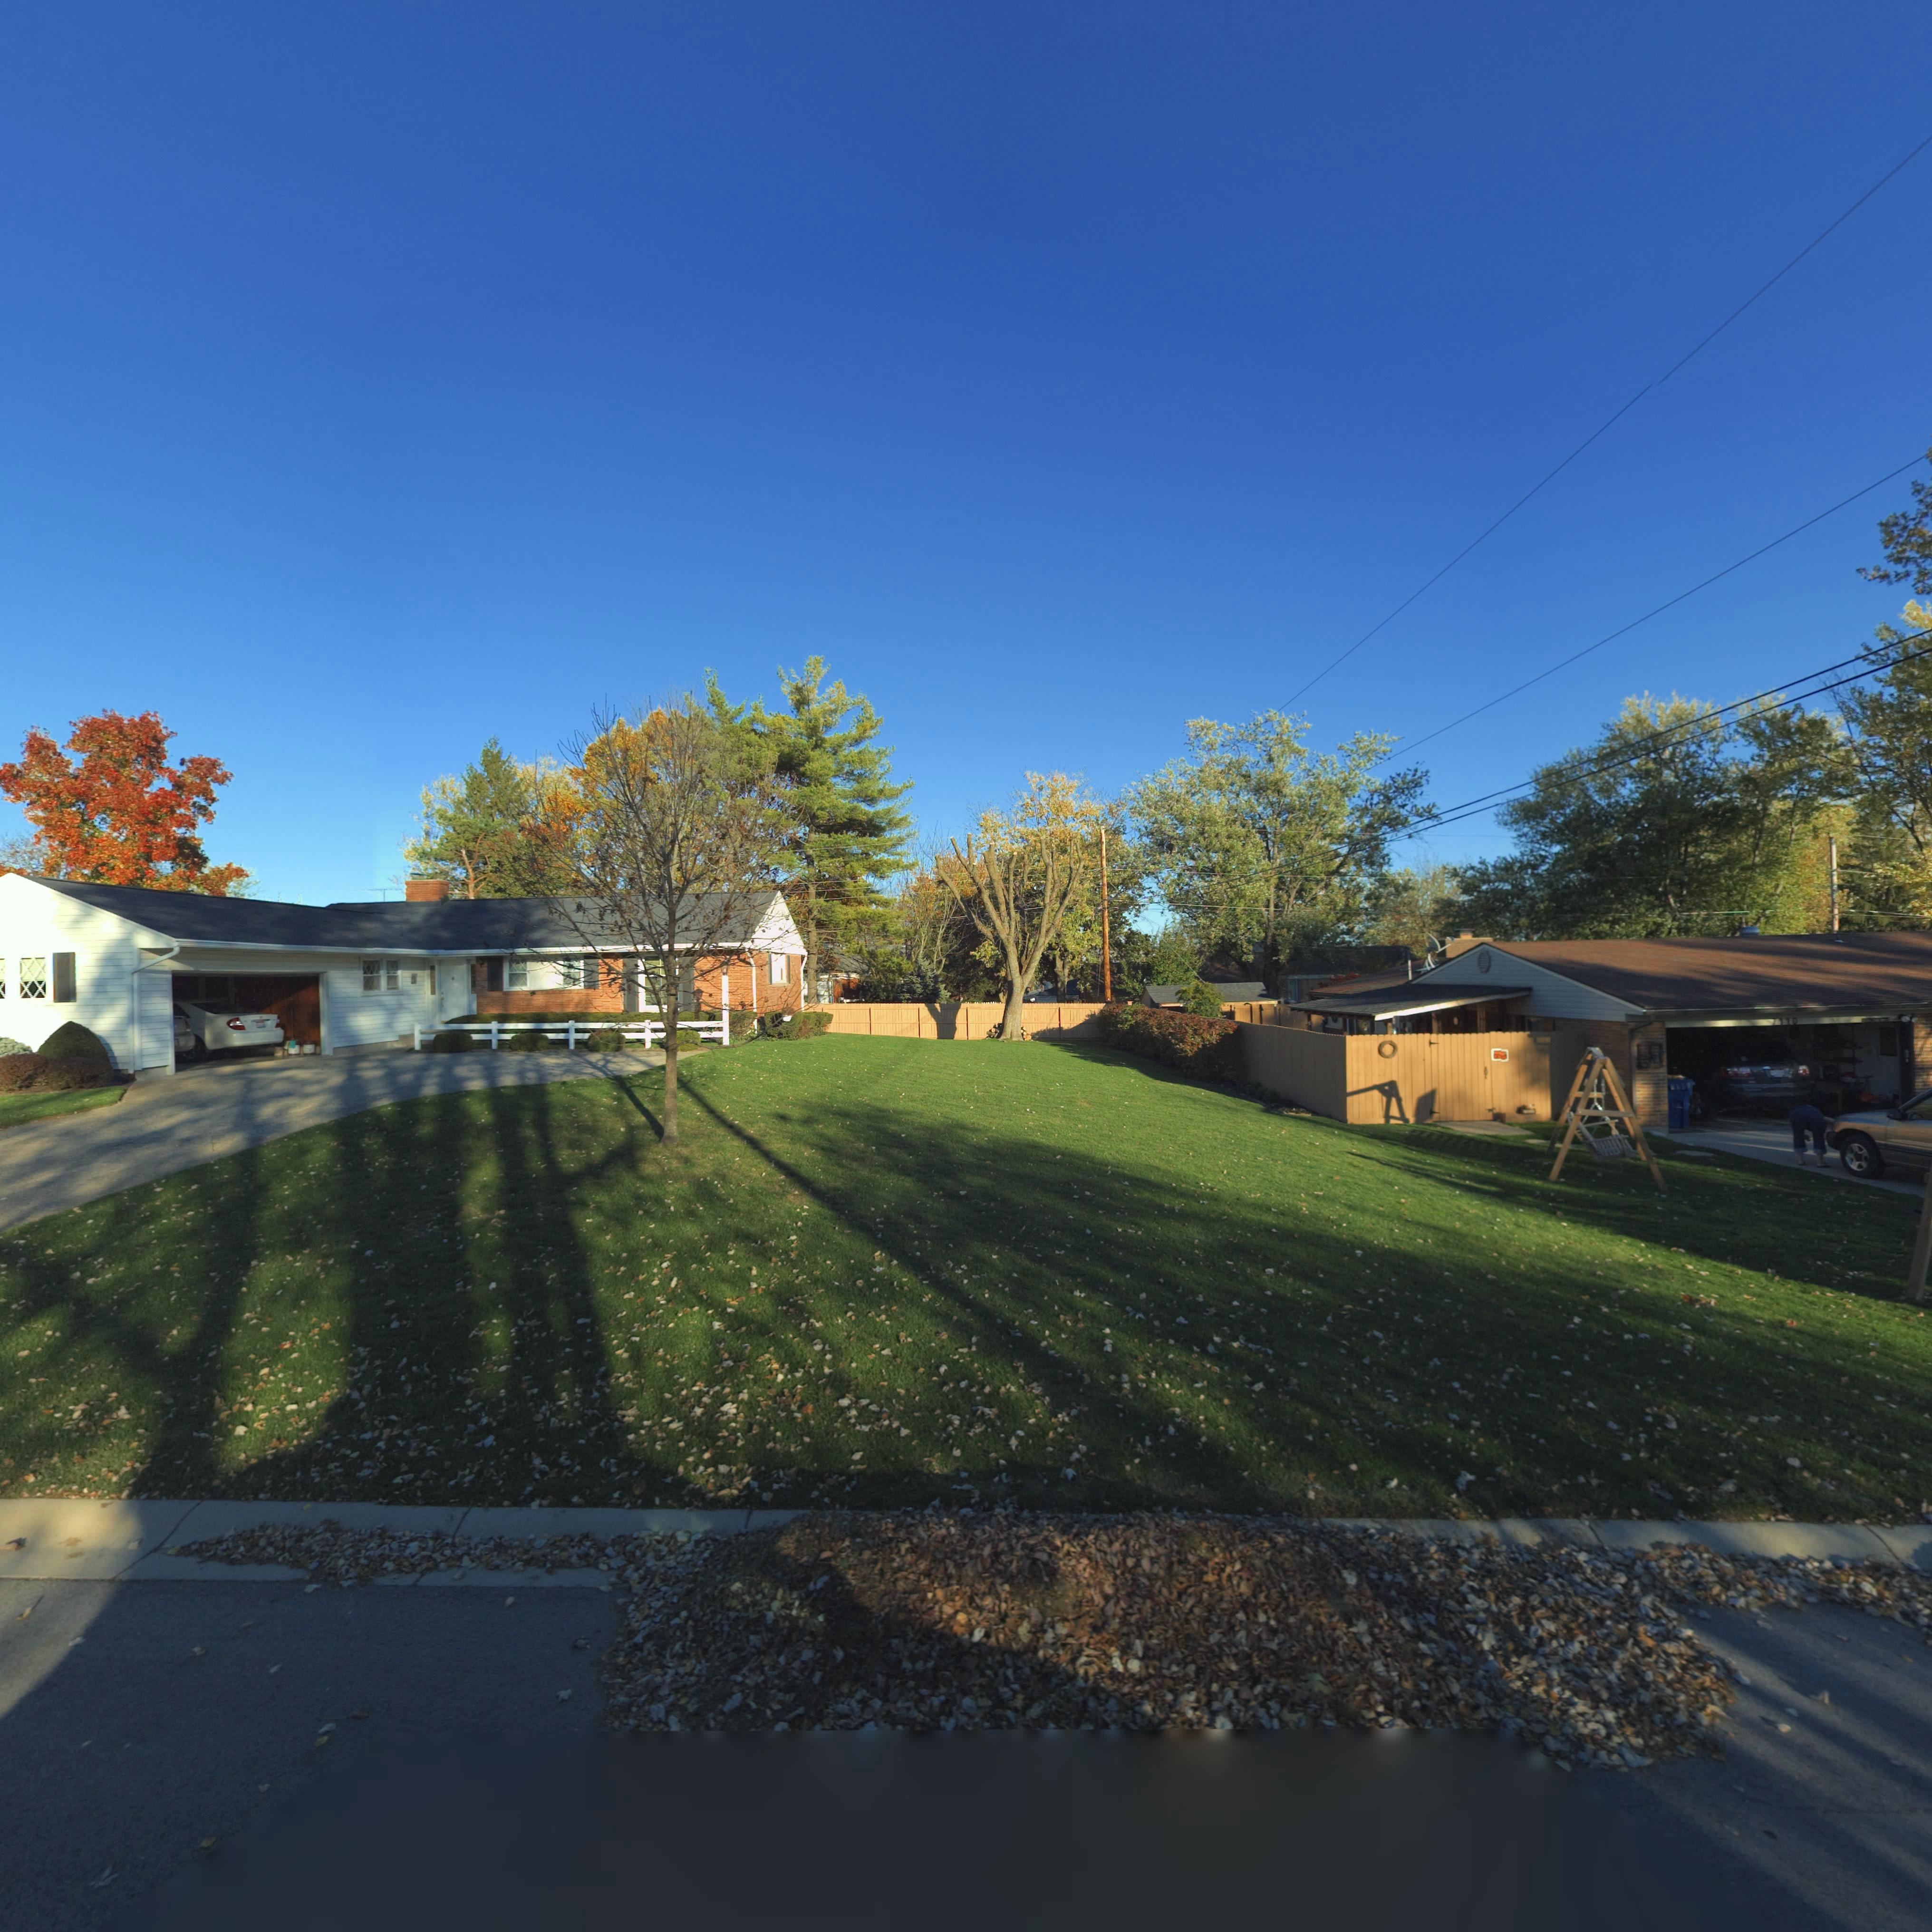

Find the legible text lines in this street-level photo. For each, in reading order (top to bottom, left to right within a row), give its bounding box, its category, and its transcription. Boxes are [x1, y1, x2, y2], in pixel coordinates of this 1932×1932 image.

[1770, 1016, 1799, 1026] StreetNumber: 7**0